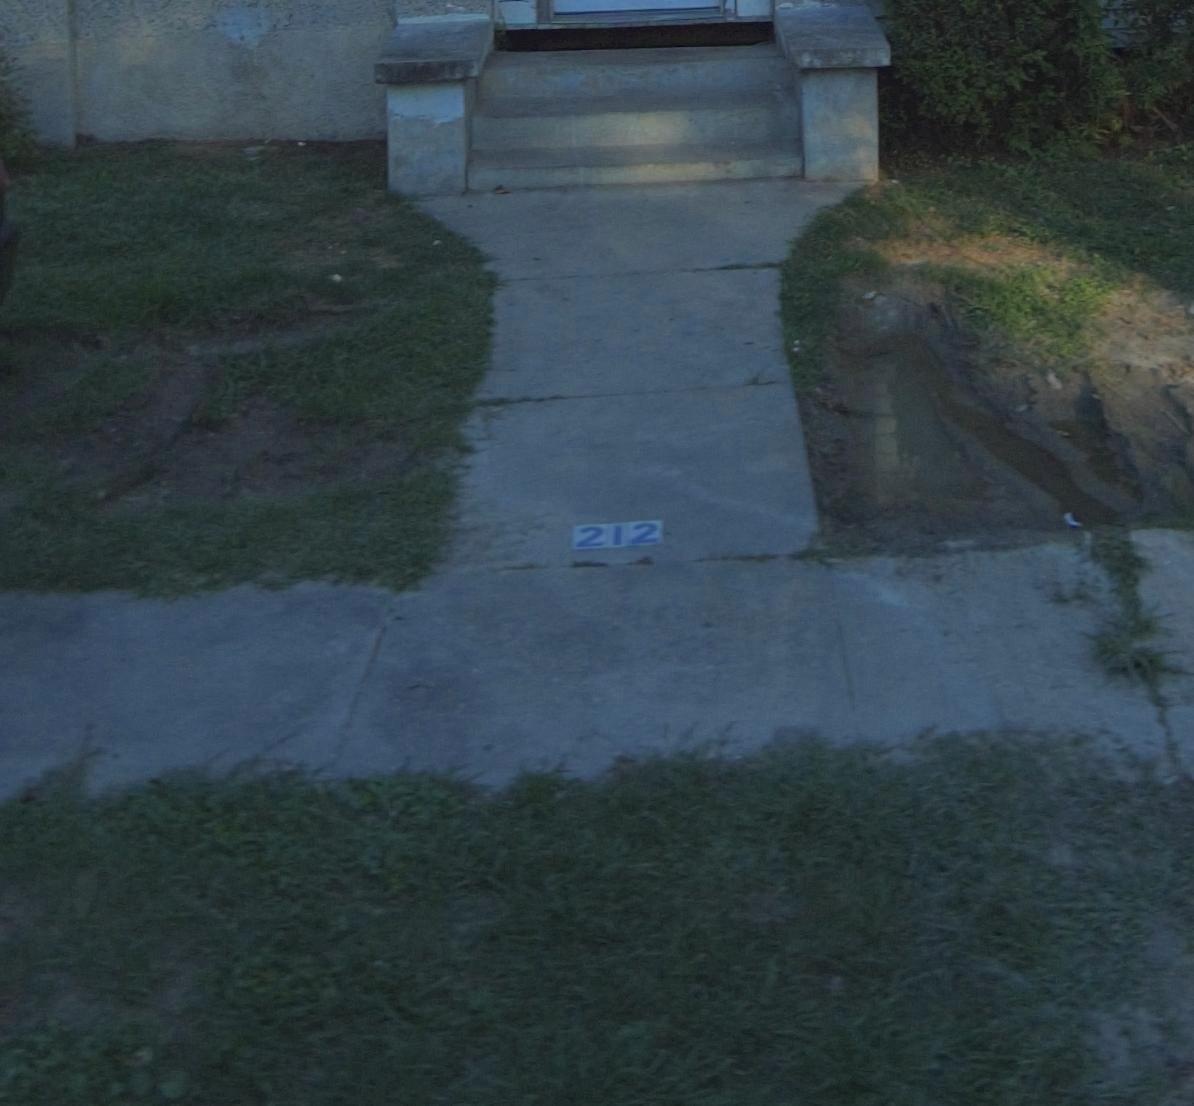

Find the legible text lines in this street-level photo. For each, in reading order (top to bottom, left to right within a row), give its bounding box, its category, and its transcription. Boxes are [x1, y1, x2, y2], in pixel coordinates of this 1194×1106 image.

[574, 520, 660, 549] StreetNumber: 212